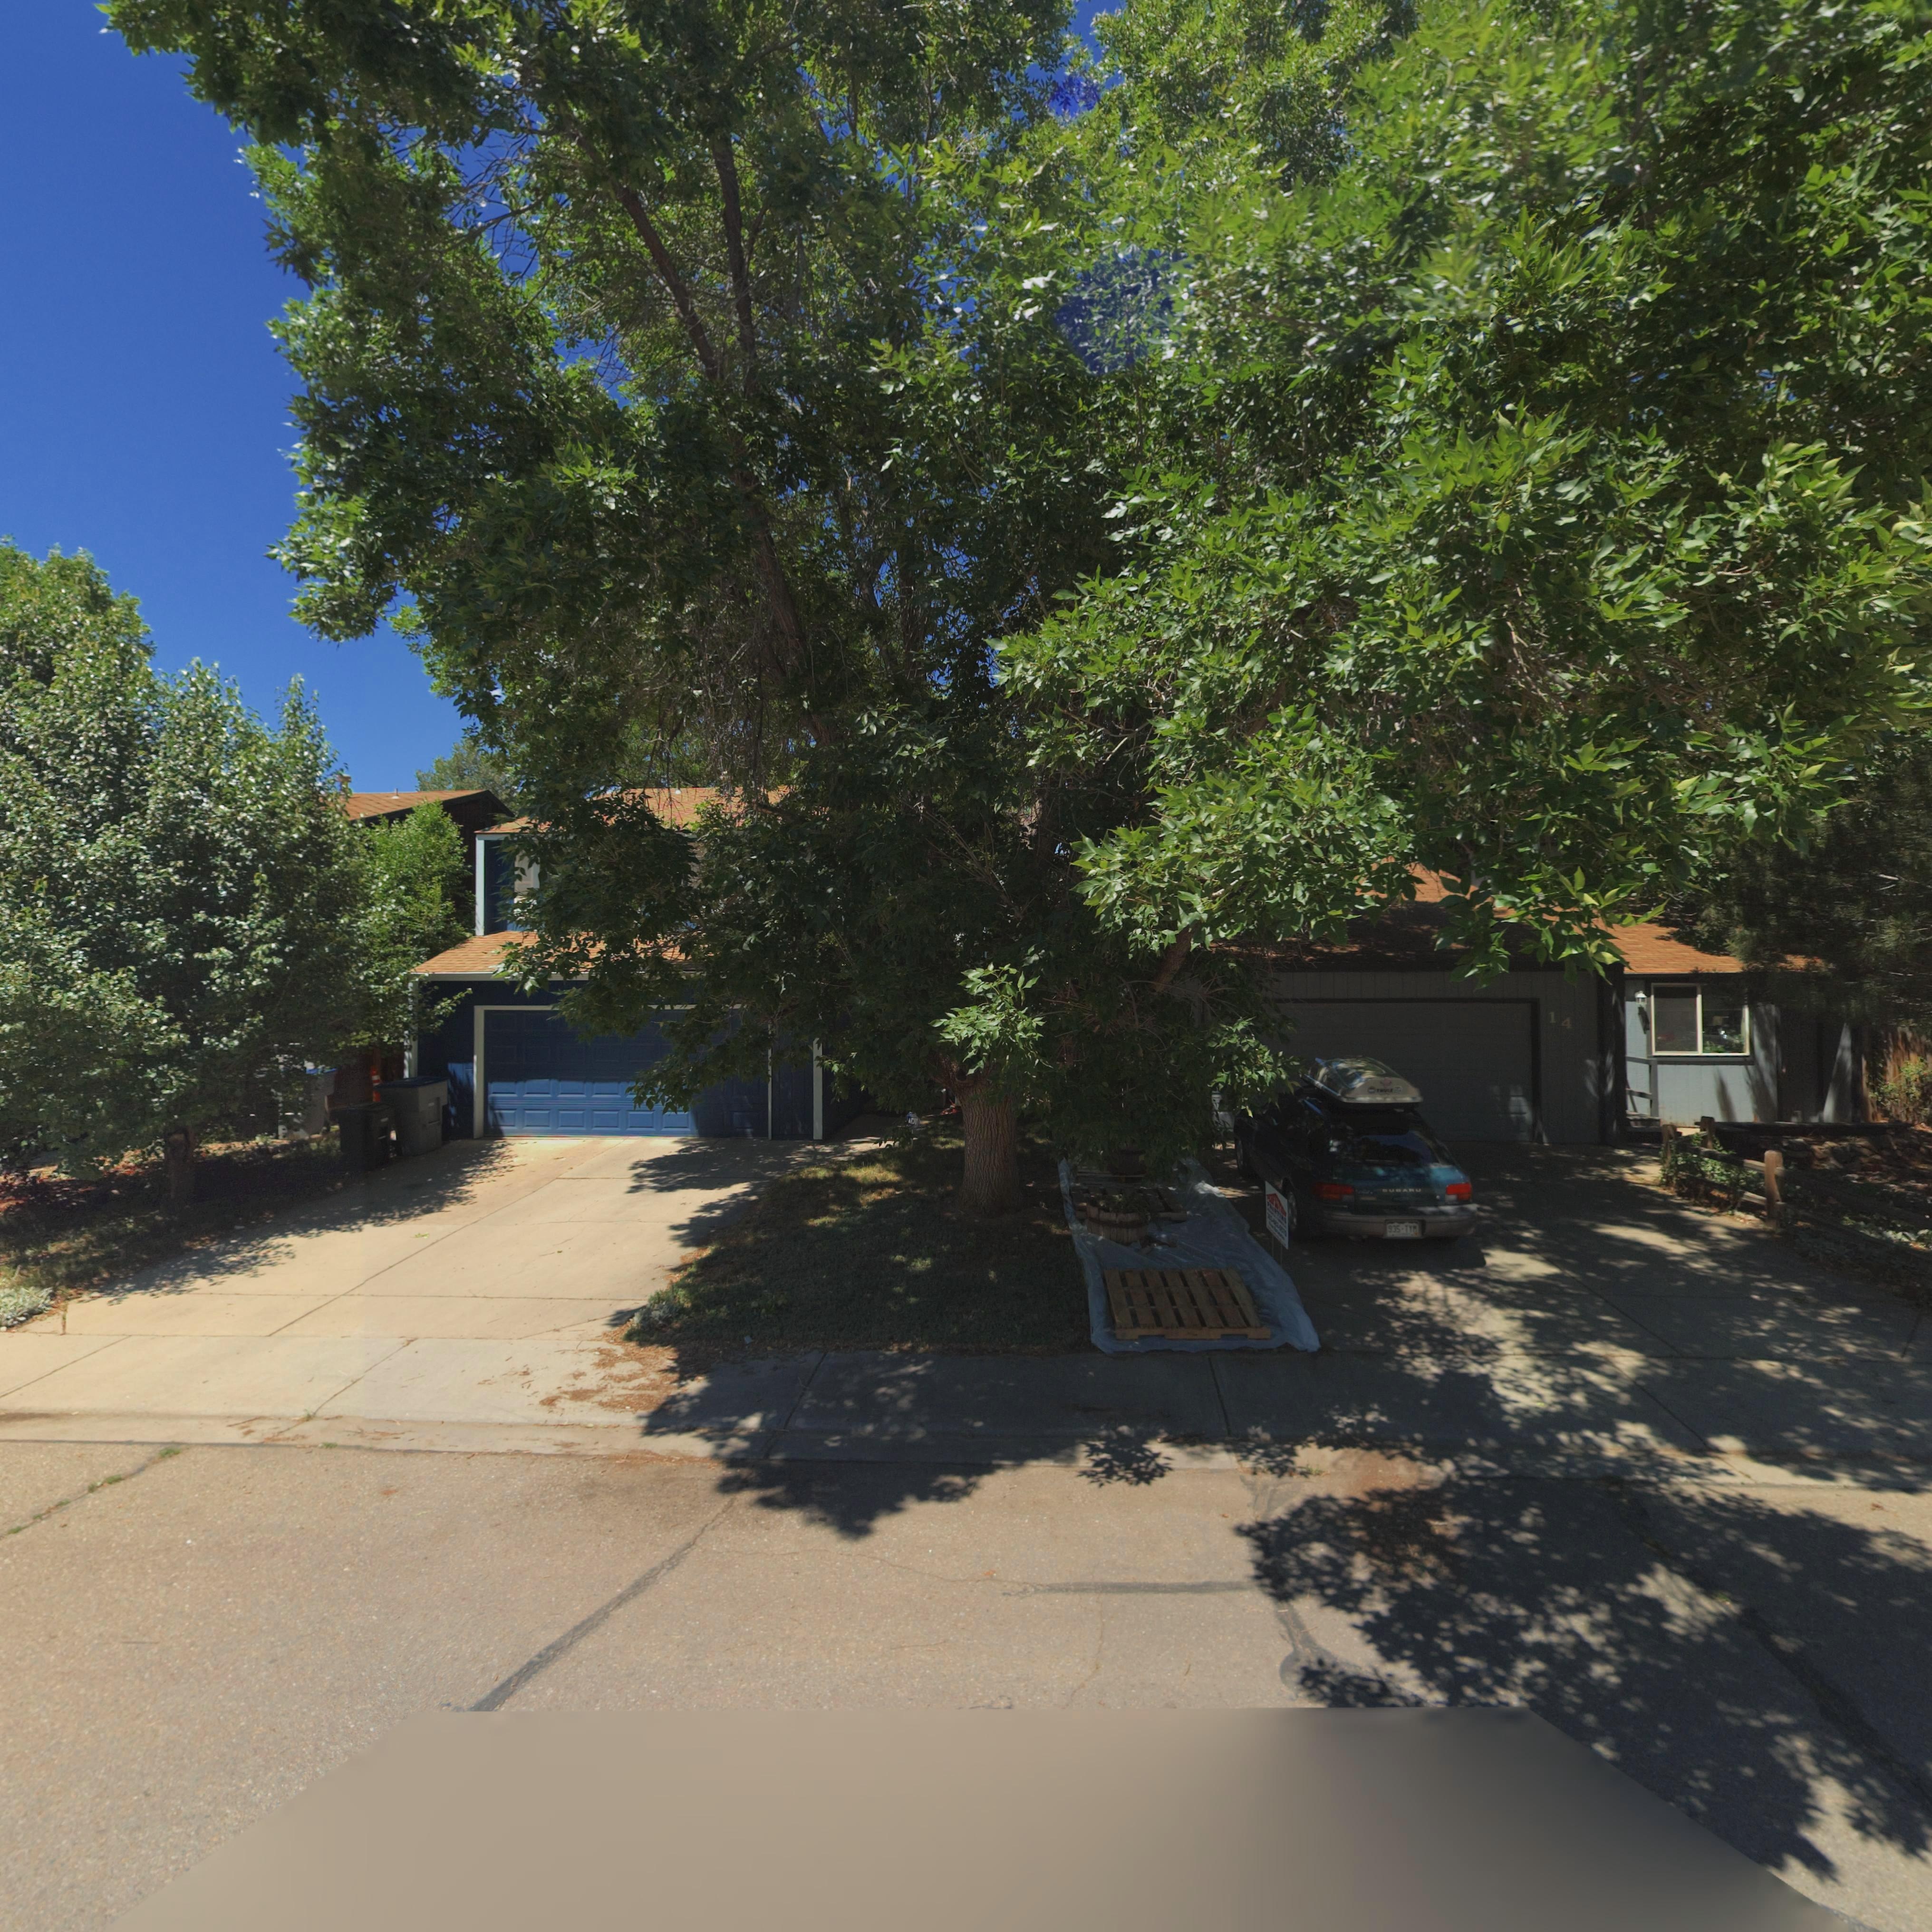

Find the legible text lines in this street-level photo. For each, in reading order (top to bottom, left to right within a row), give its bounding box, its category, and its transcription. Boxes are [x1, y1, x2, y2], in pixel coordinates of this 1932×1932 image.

[1547, 1010, 1572, 1030] StreetNumber: 14